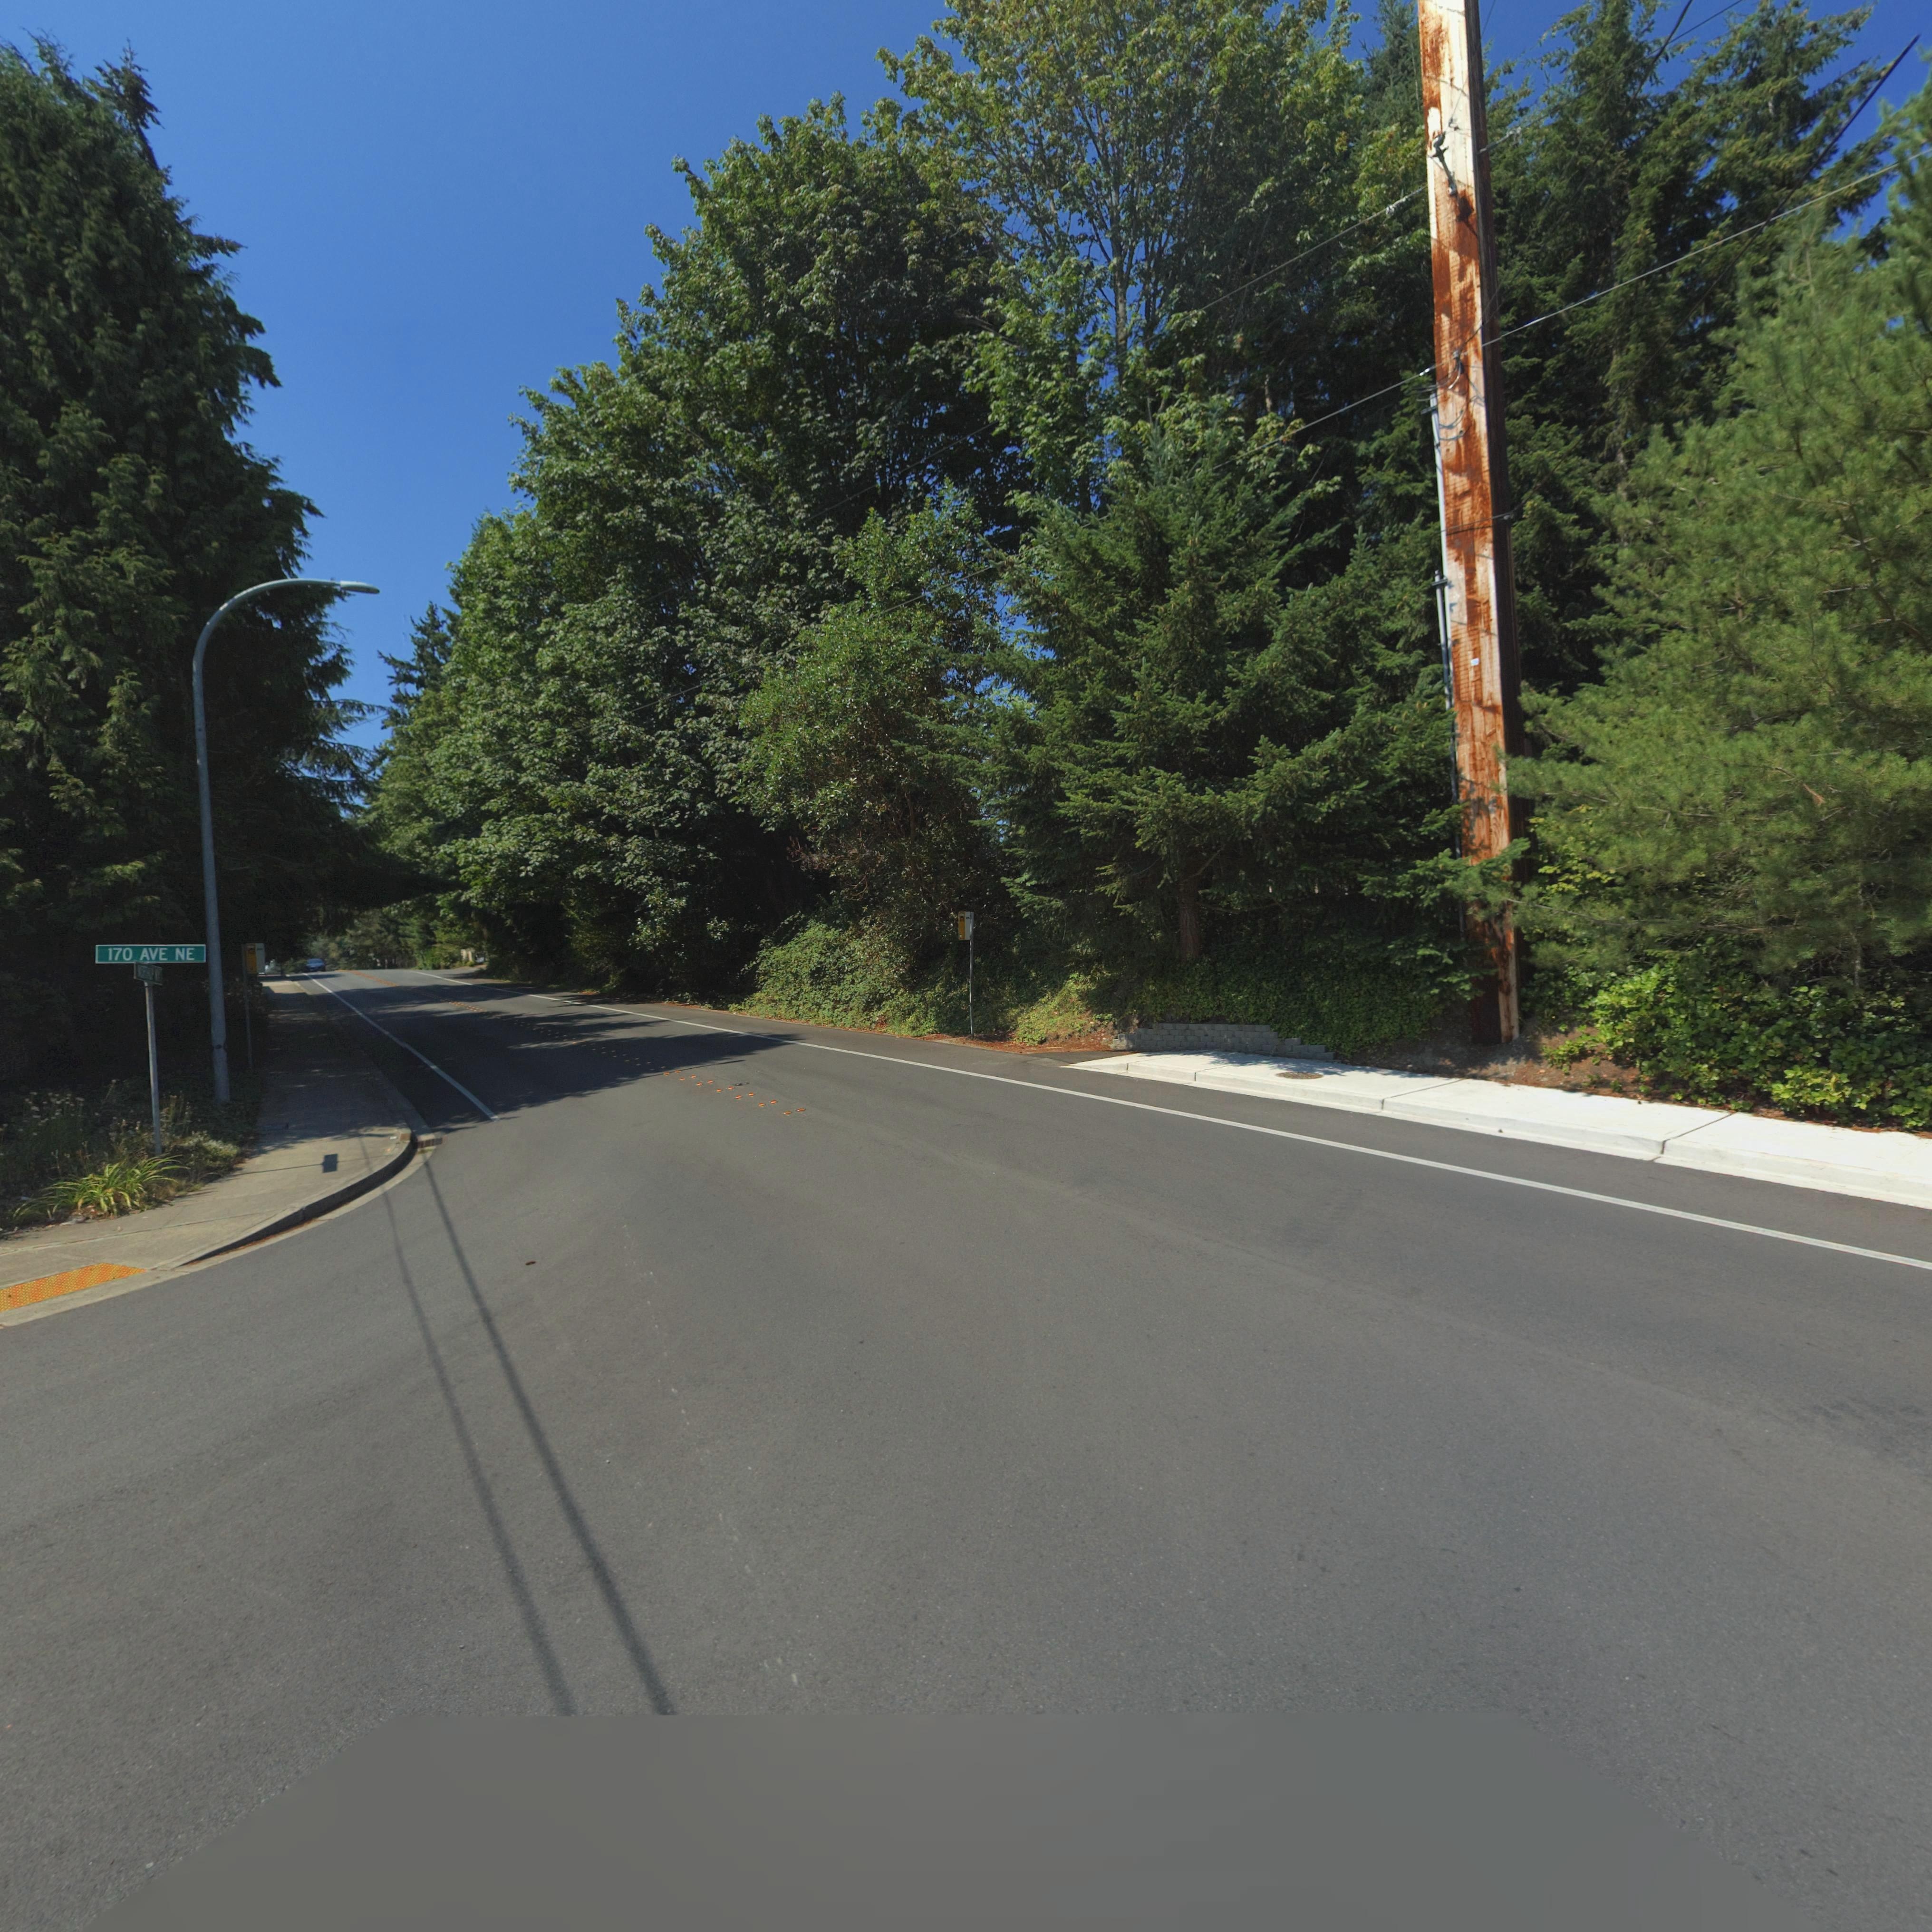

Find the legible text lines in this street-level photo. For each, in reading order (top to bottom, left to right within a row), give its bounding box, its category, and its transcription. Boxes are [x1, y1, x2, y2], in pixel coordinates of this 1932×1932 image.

[107, 946, 194, 961] StreetName: 170 AVE NE